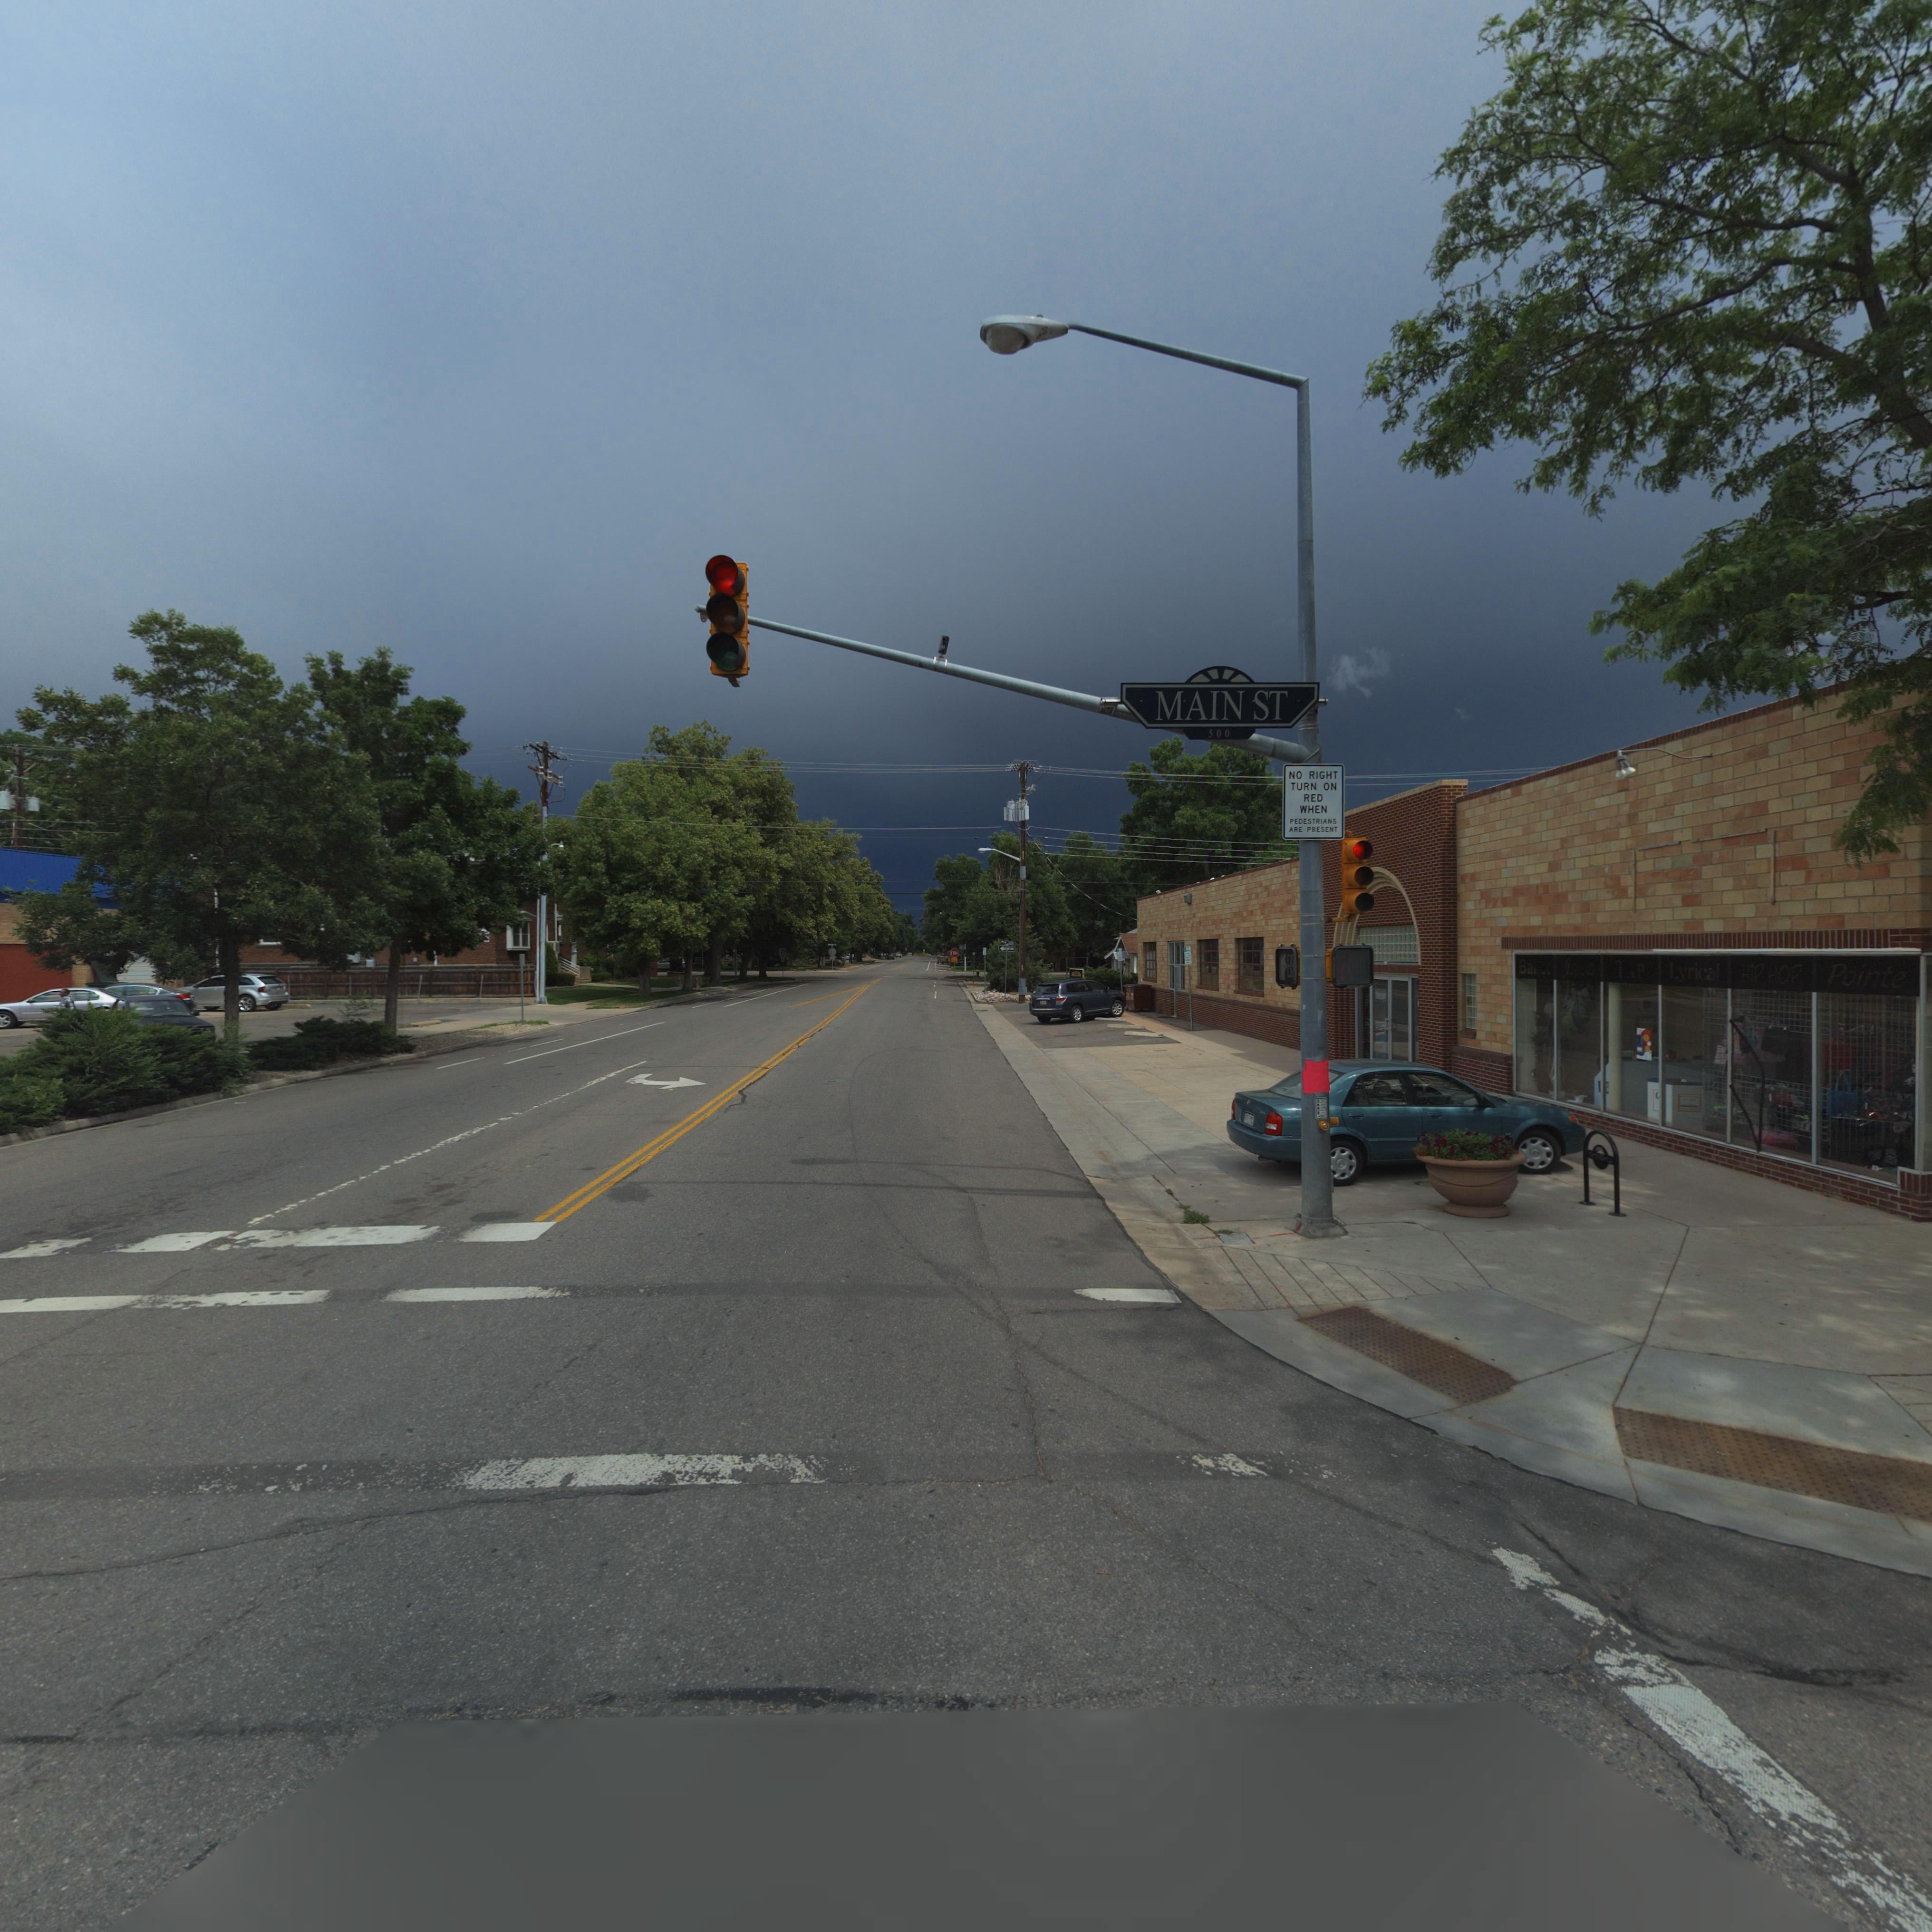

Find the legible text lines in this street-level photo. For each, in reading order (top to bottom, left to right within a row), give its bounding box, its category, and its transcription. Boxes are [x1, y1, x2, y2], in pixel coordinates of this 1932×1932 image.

[1153, 690, 1289, 721] StreetName: MAIN ST
[1207, 729, 1230, 738] BusinessName: 500